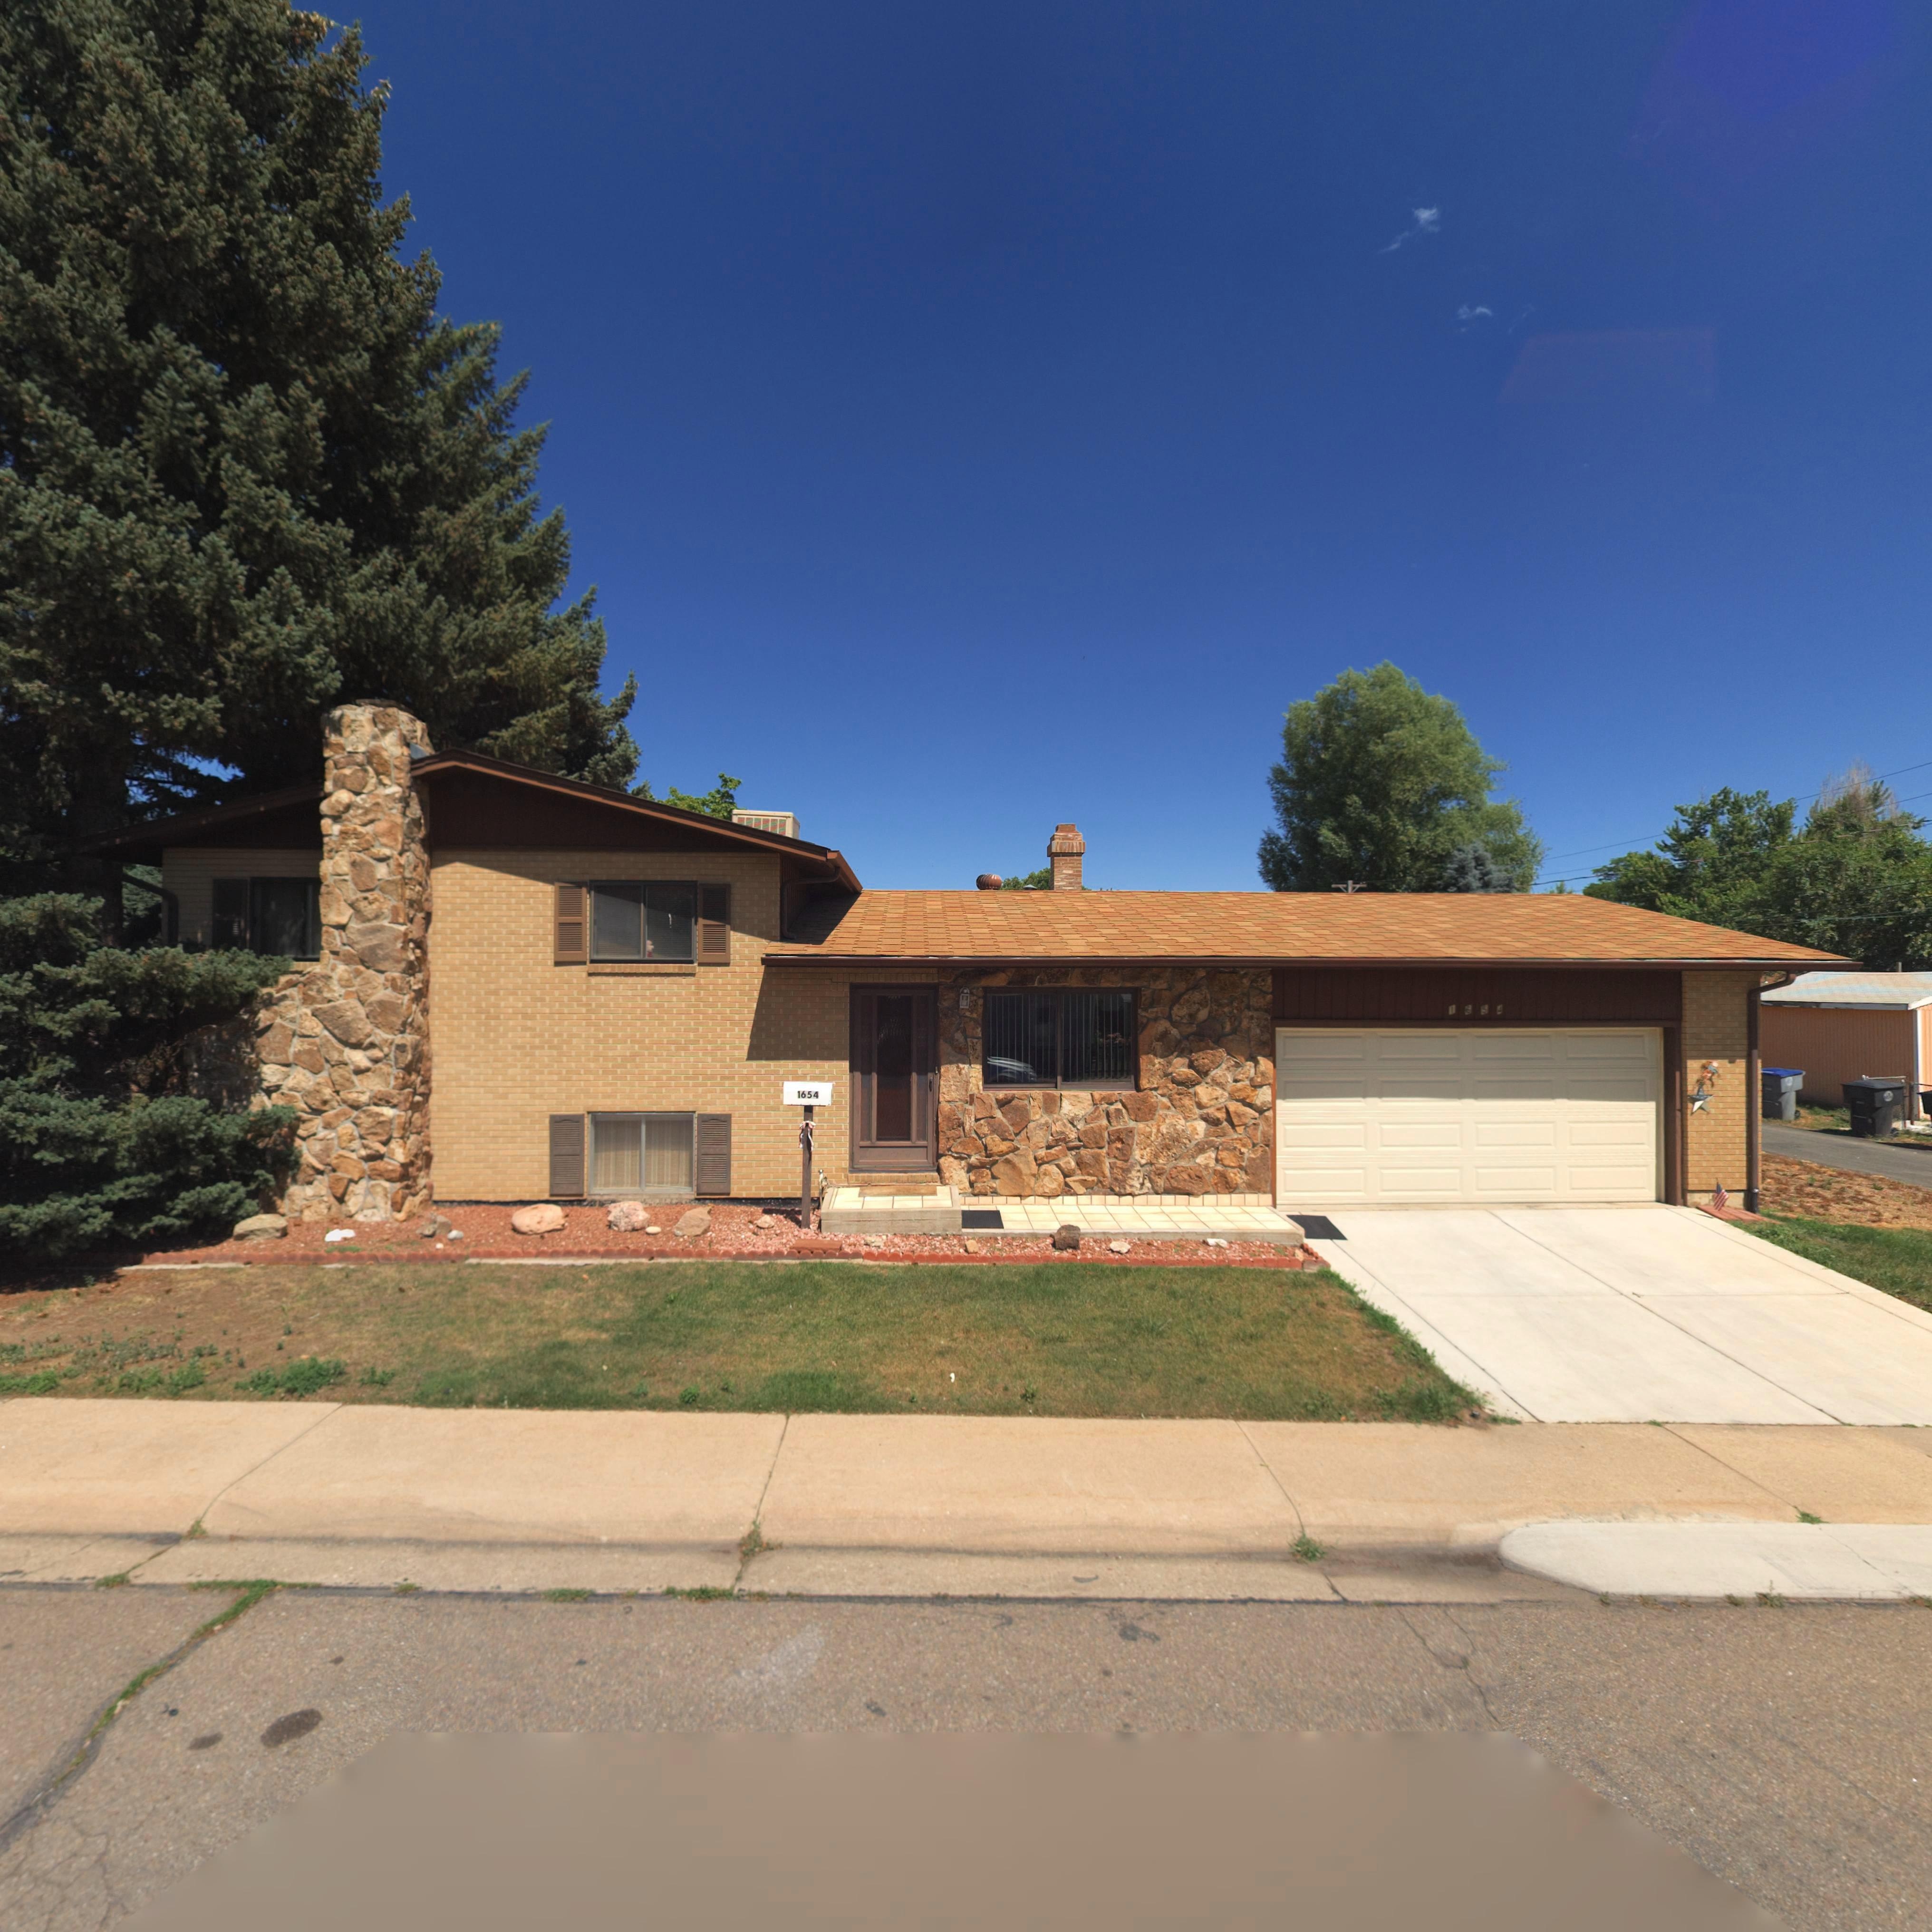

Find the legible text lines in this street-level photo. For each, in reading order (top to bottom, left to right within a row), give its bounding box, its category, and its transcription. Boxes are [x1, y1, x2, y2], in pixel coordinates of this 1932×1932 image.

[1449, 1005, 1502, 1014] StreetNumber: 1654
[796, 1090, 819, 1099] StreetNumber: 1654